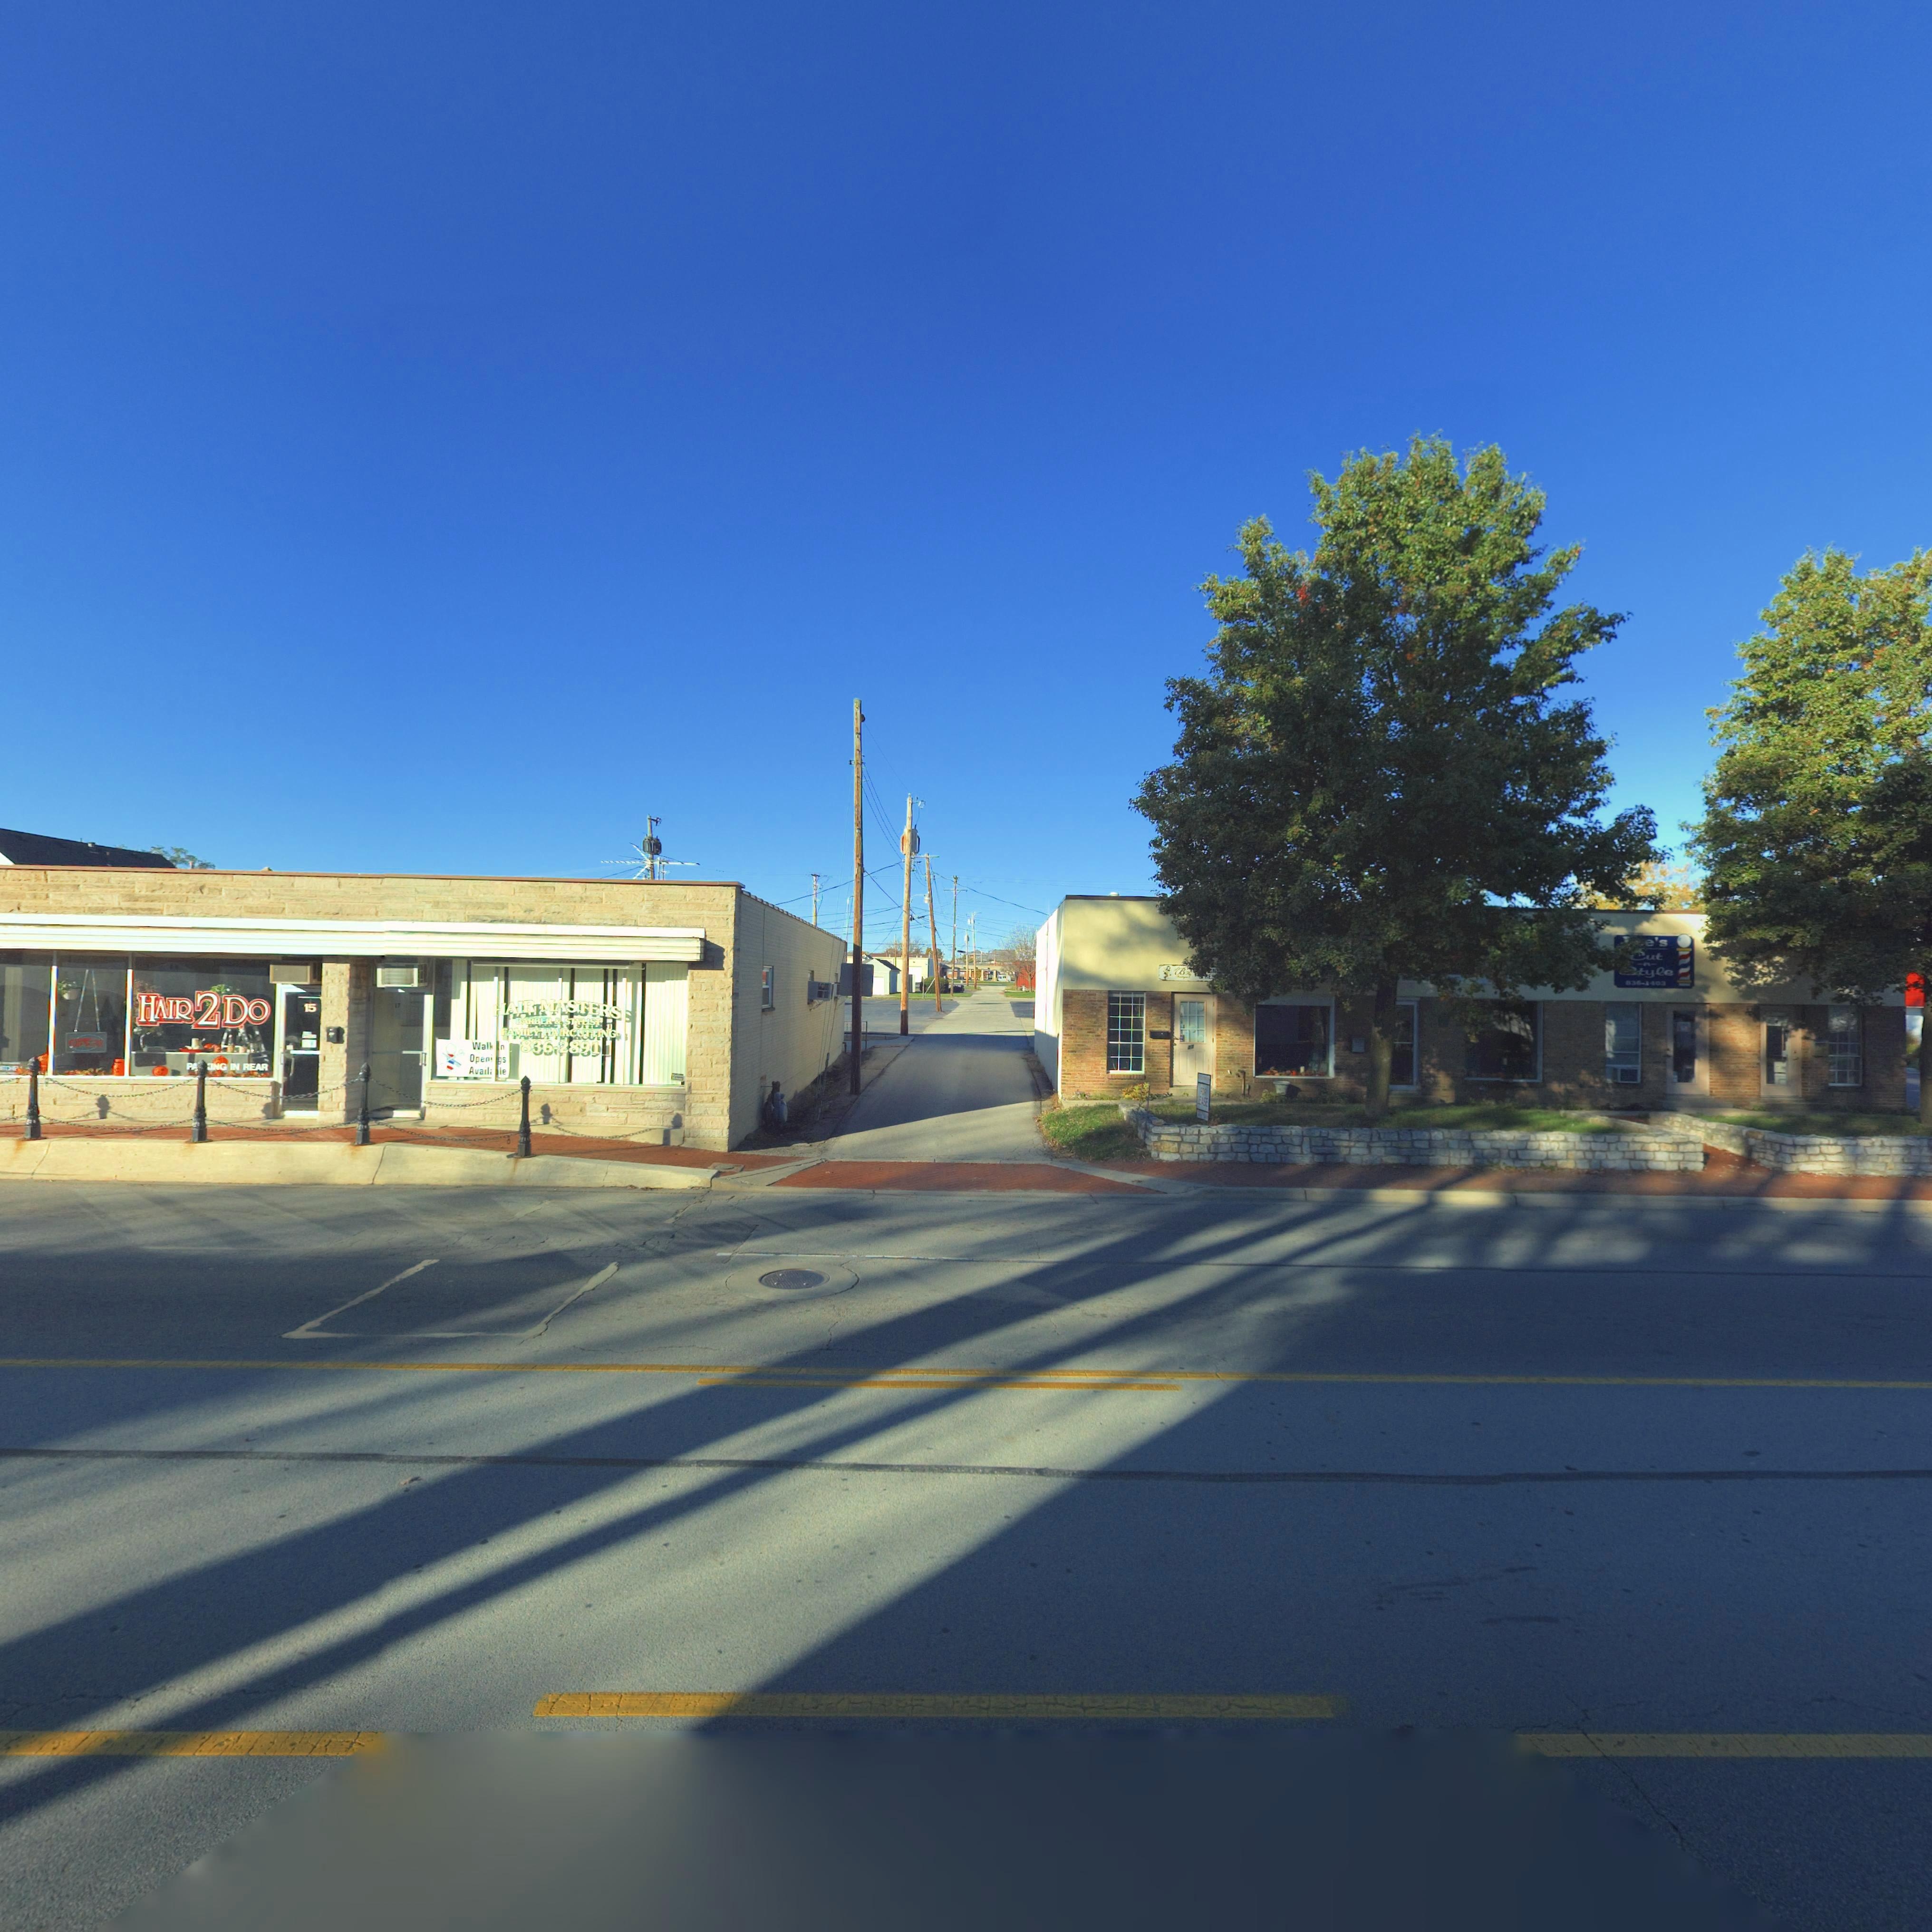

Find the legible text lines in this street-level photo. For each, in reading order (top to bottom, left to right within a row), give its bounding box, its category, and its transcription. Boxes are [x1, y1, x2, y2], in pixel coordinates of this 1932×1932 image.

[135, 989, 273, 1031] None: HAIR2DO
[303, 1003, 317, 1013] StreetNumber: 15
[394, 1003, 401, 1008] StreetNumber: 17
[491, 998, 623, 1023] None: HAIR MASTERS
[515, 1016, 601, 1027] None: BARBER & STYLIST
[501, 1027, 617, 1039] None: FAMILY HAIRCUTTING
[471, 1041, 494, 1051] None: Walk
[520, 1040, 599, 1055] None: 836-2891
[1187, 1044, 1194, 1050] StreetNumber: 23
[468, 1053, 507, 1066] None: Openi*gs
[184, 1062, 269, 1072] None: PAR*ING IN REAR
[469, 1065, 508, 1076] None: Availi**le